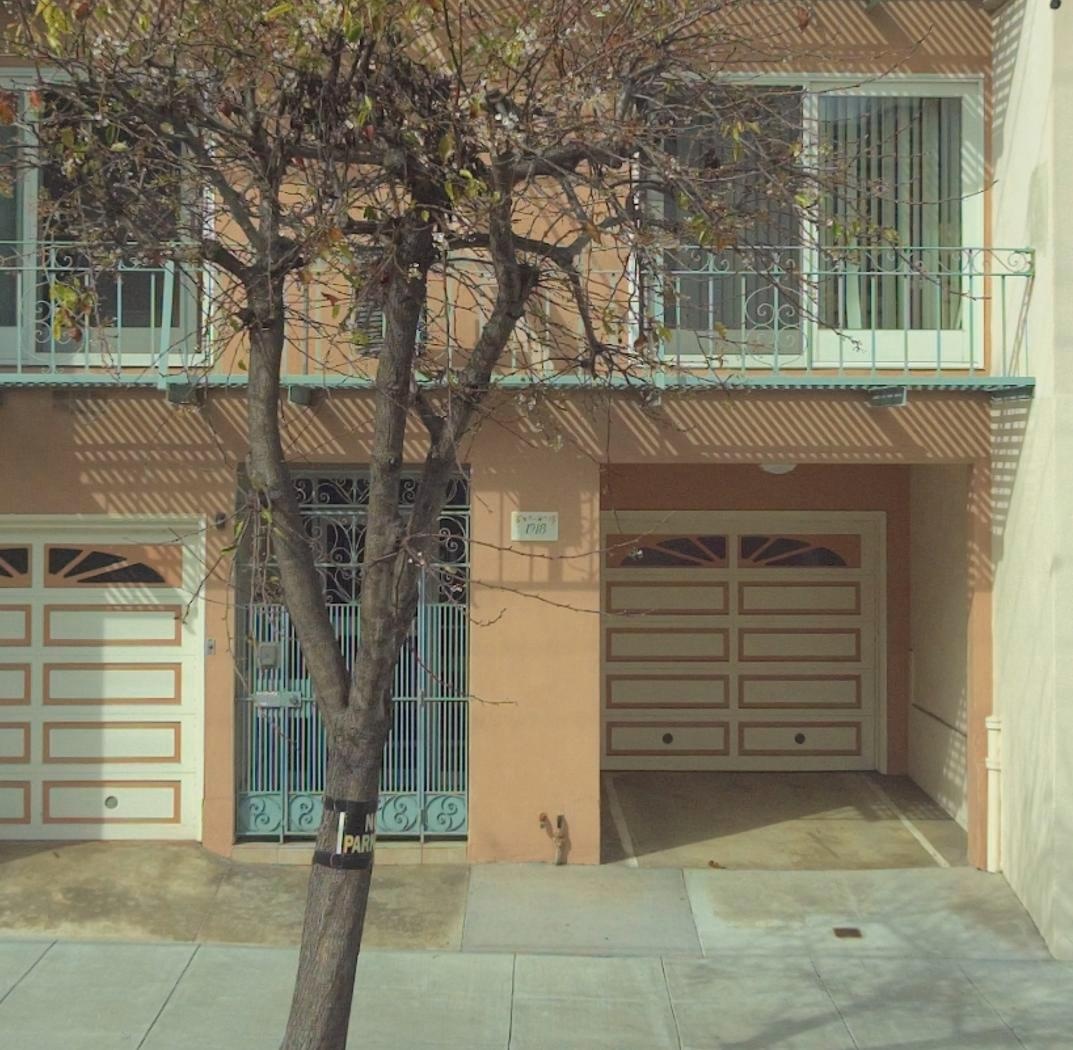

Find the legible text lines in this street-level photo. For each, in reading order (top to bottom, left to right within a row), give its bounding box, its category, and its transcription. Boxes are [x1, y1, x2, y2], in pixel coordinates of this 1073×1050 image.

[524, 521, 548, 537] StreetNumber: 1918
[363, 811, 375, 834] None: N
[341, 832, 371, 856] None: PAR